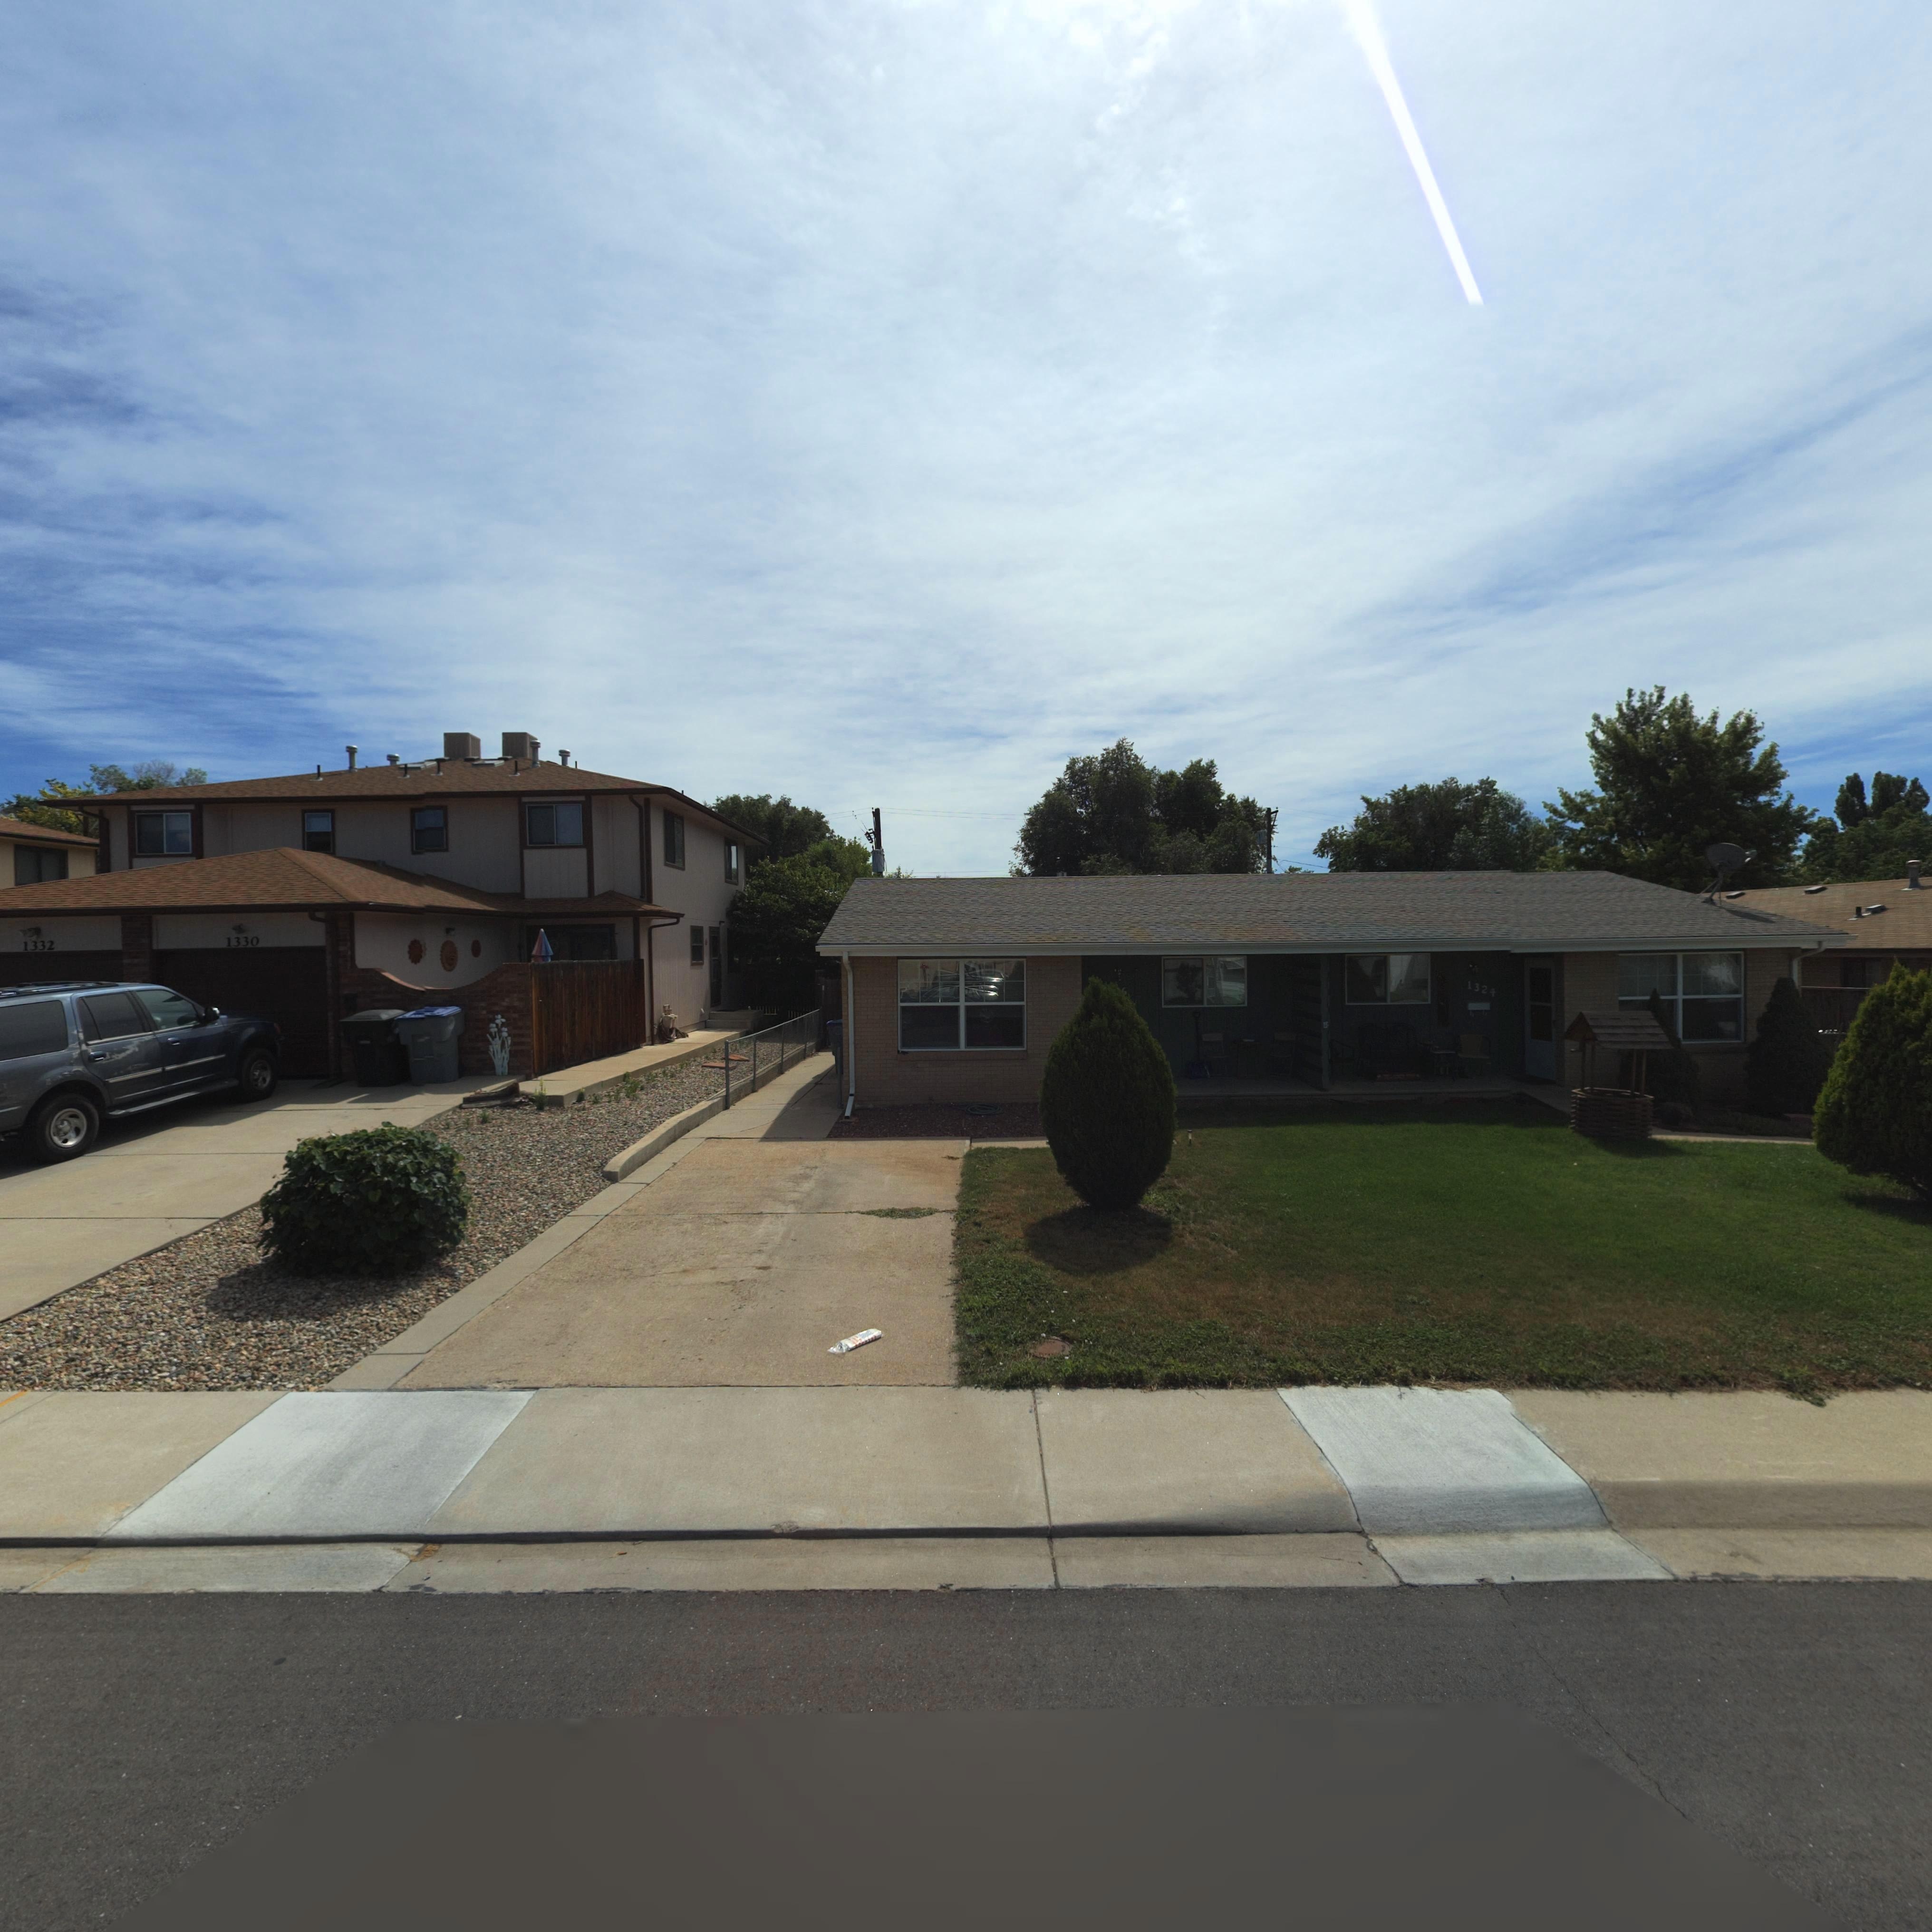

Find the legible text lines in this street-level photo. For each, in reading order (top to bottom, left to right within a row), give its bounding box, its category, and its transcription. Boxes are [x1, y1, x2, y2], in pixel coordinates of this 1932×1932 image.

[22, 939, 56, 951] StreetNumber: 1332
[225, 936, 260, 947] StreetNumber: 1330
[1120, 986, 1127, 996] StreetNumber: 6
[1467, 980, 1496, 997] StreetNumber: 1324